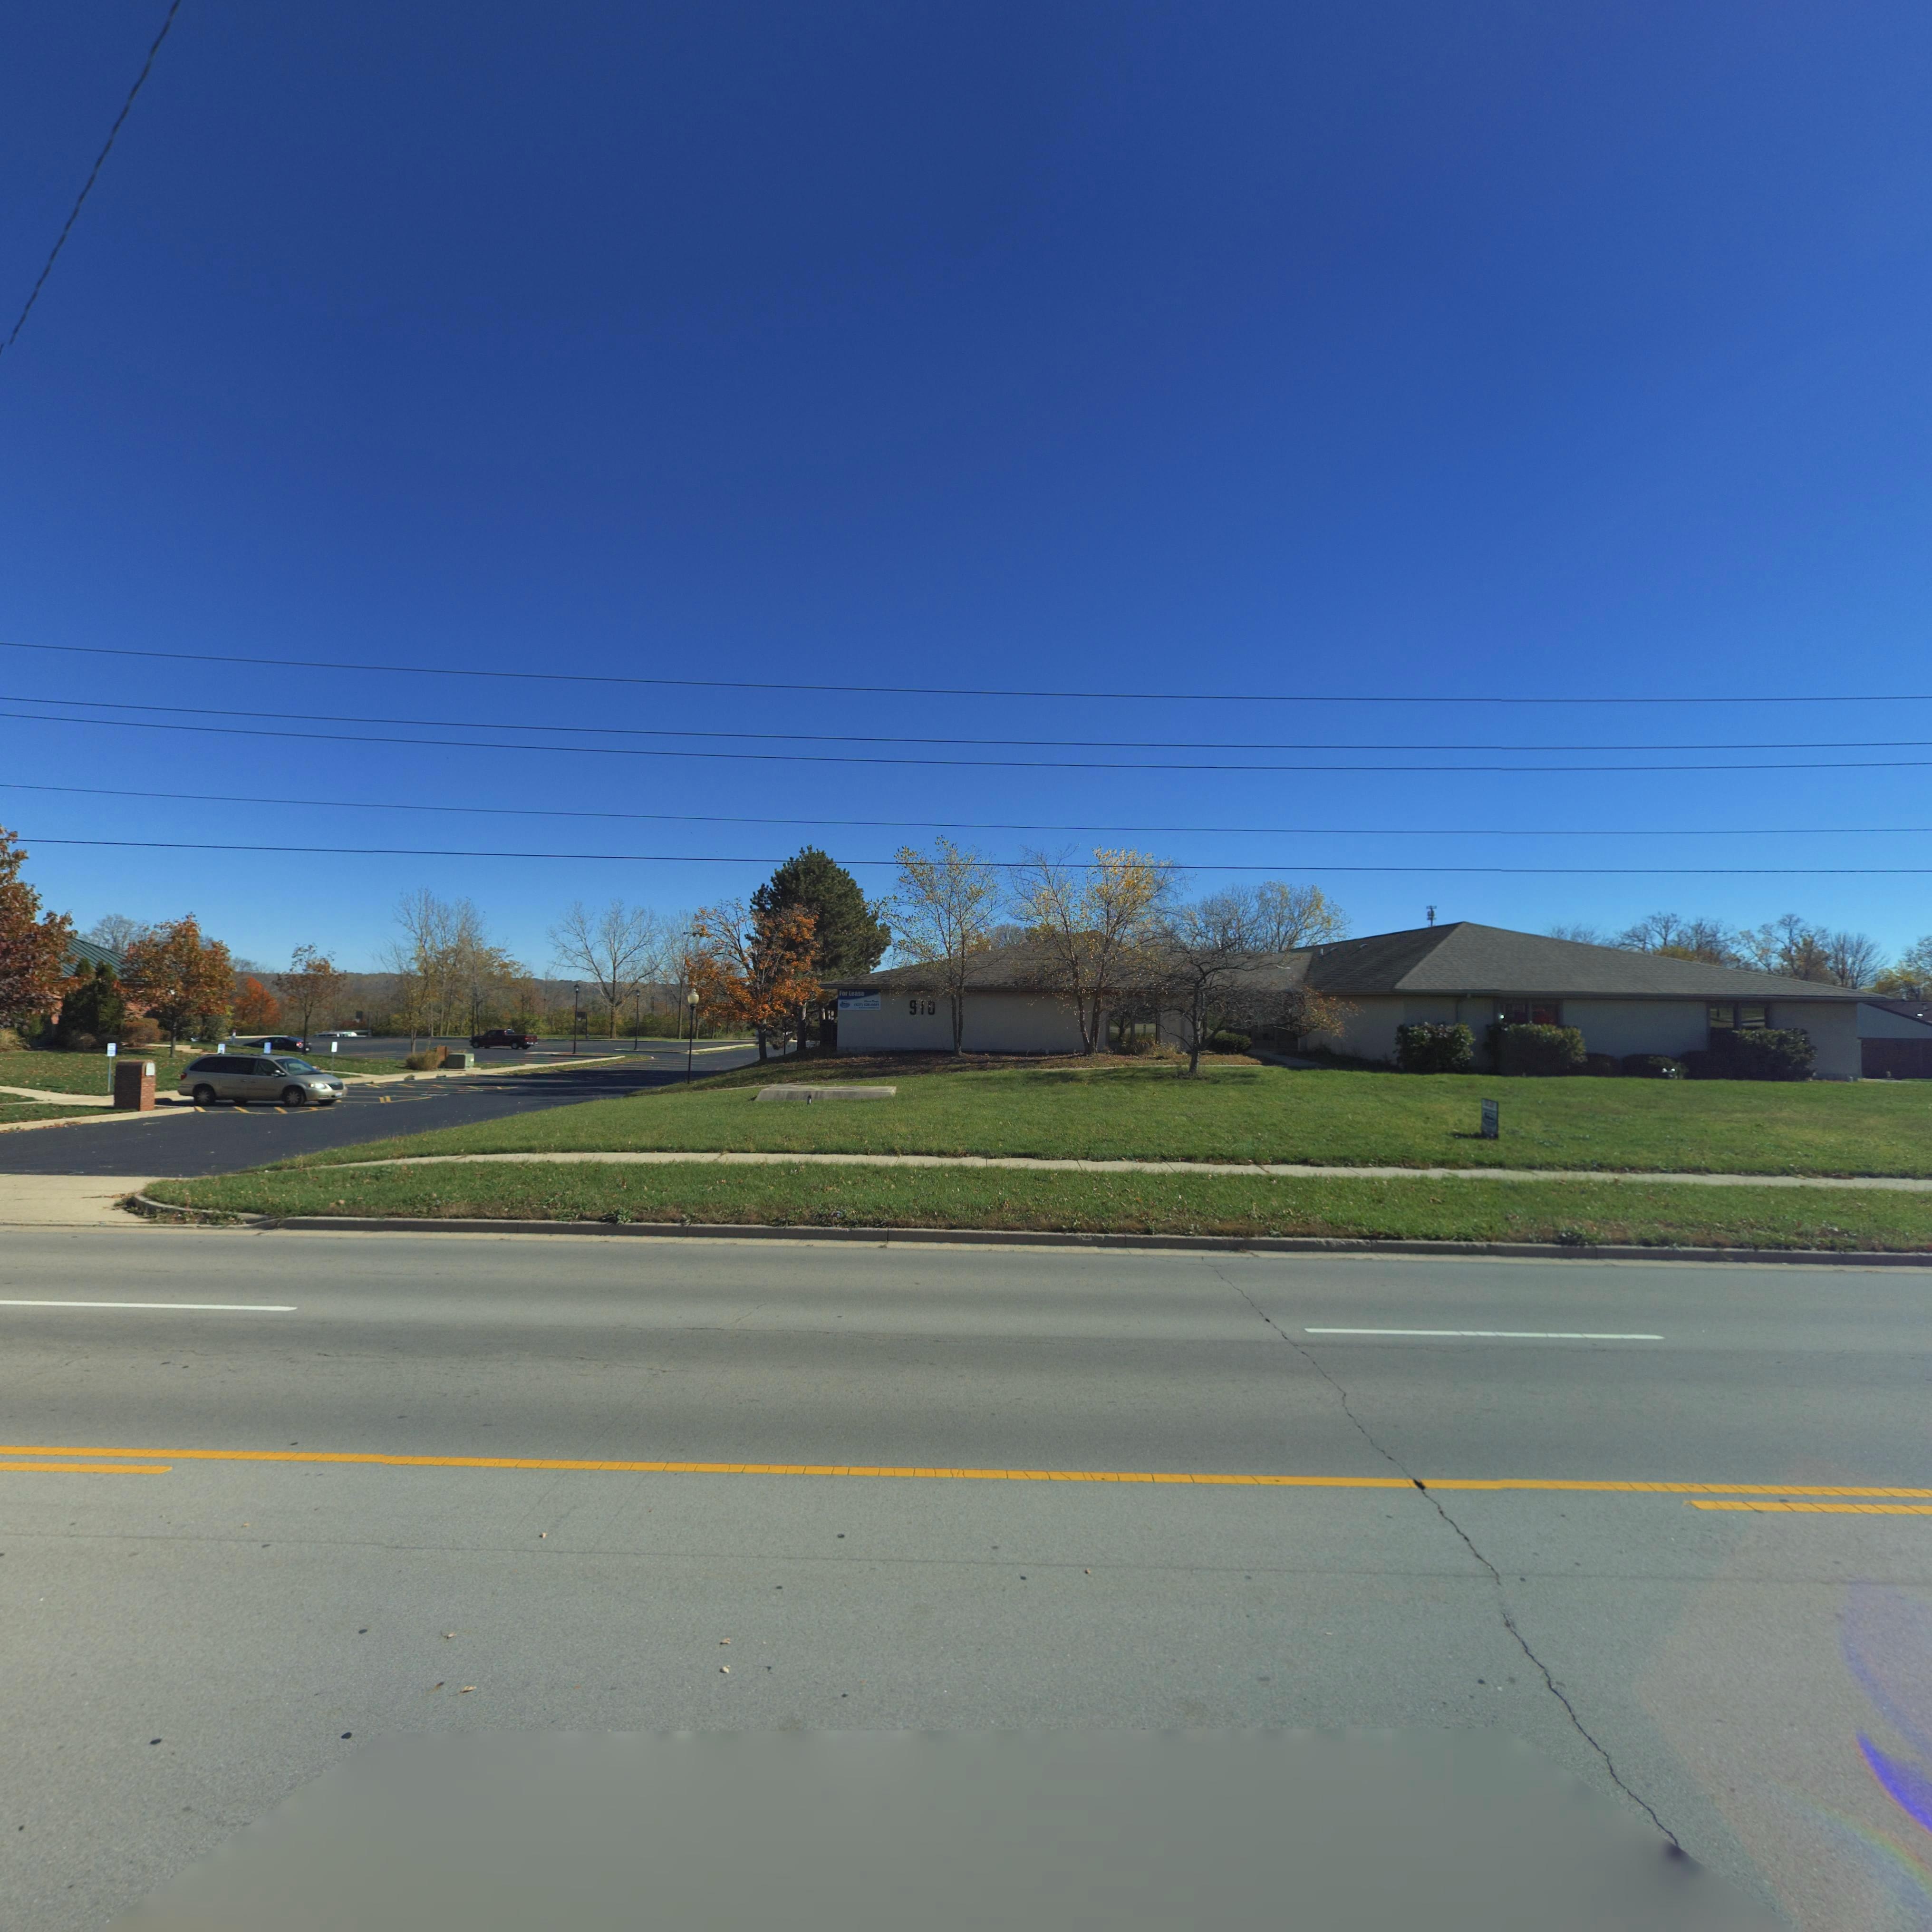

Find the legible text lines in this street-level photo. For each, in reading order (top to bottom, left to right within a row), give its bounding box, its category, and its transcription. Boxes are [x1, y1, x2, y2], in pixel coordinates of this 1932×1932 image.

[908, 999, 937, 1016] StreetNumber: 910